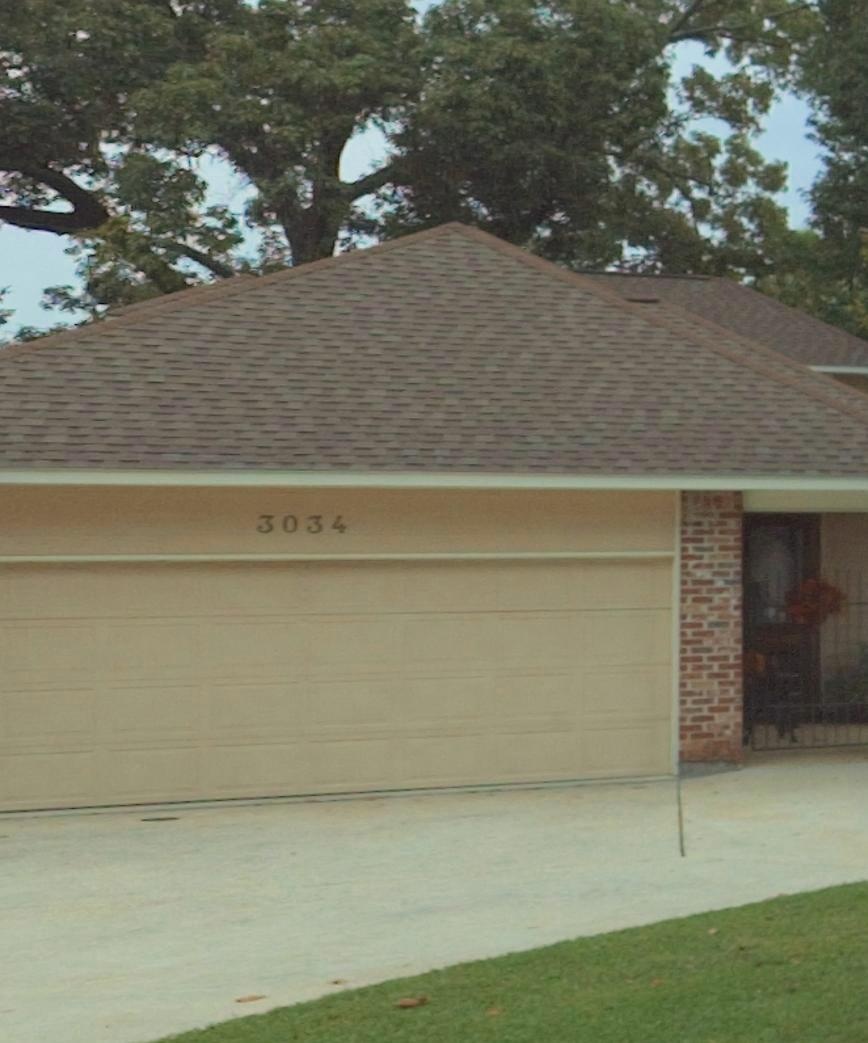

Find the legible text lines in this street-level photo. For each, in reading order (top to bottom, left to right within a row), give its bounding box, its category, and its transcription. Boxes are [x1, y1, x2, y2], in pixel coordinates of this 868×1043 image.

[253, 514, 349, 534] StreetNumber: 3034